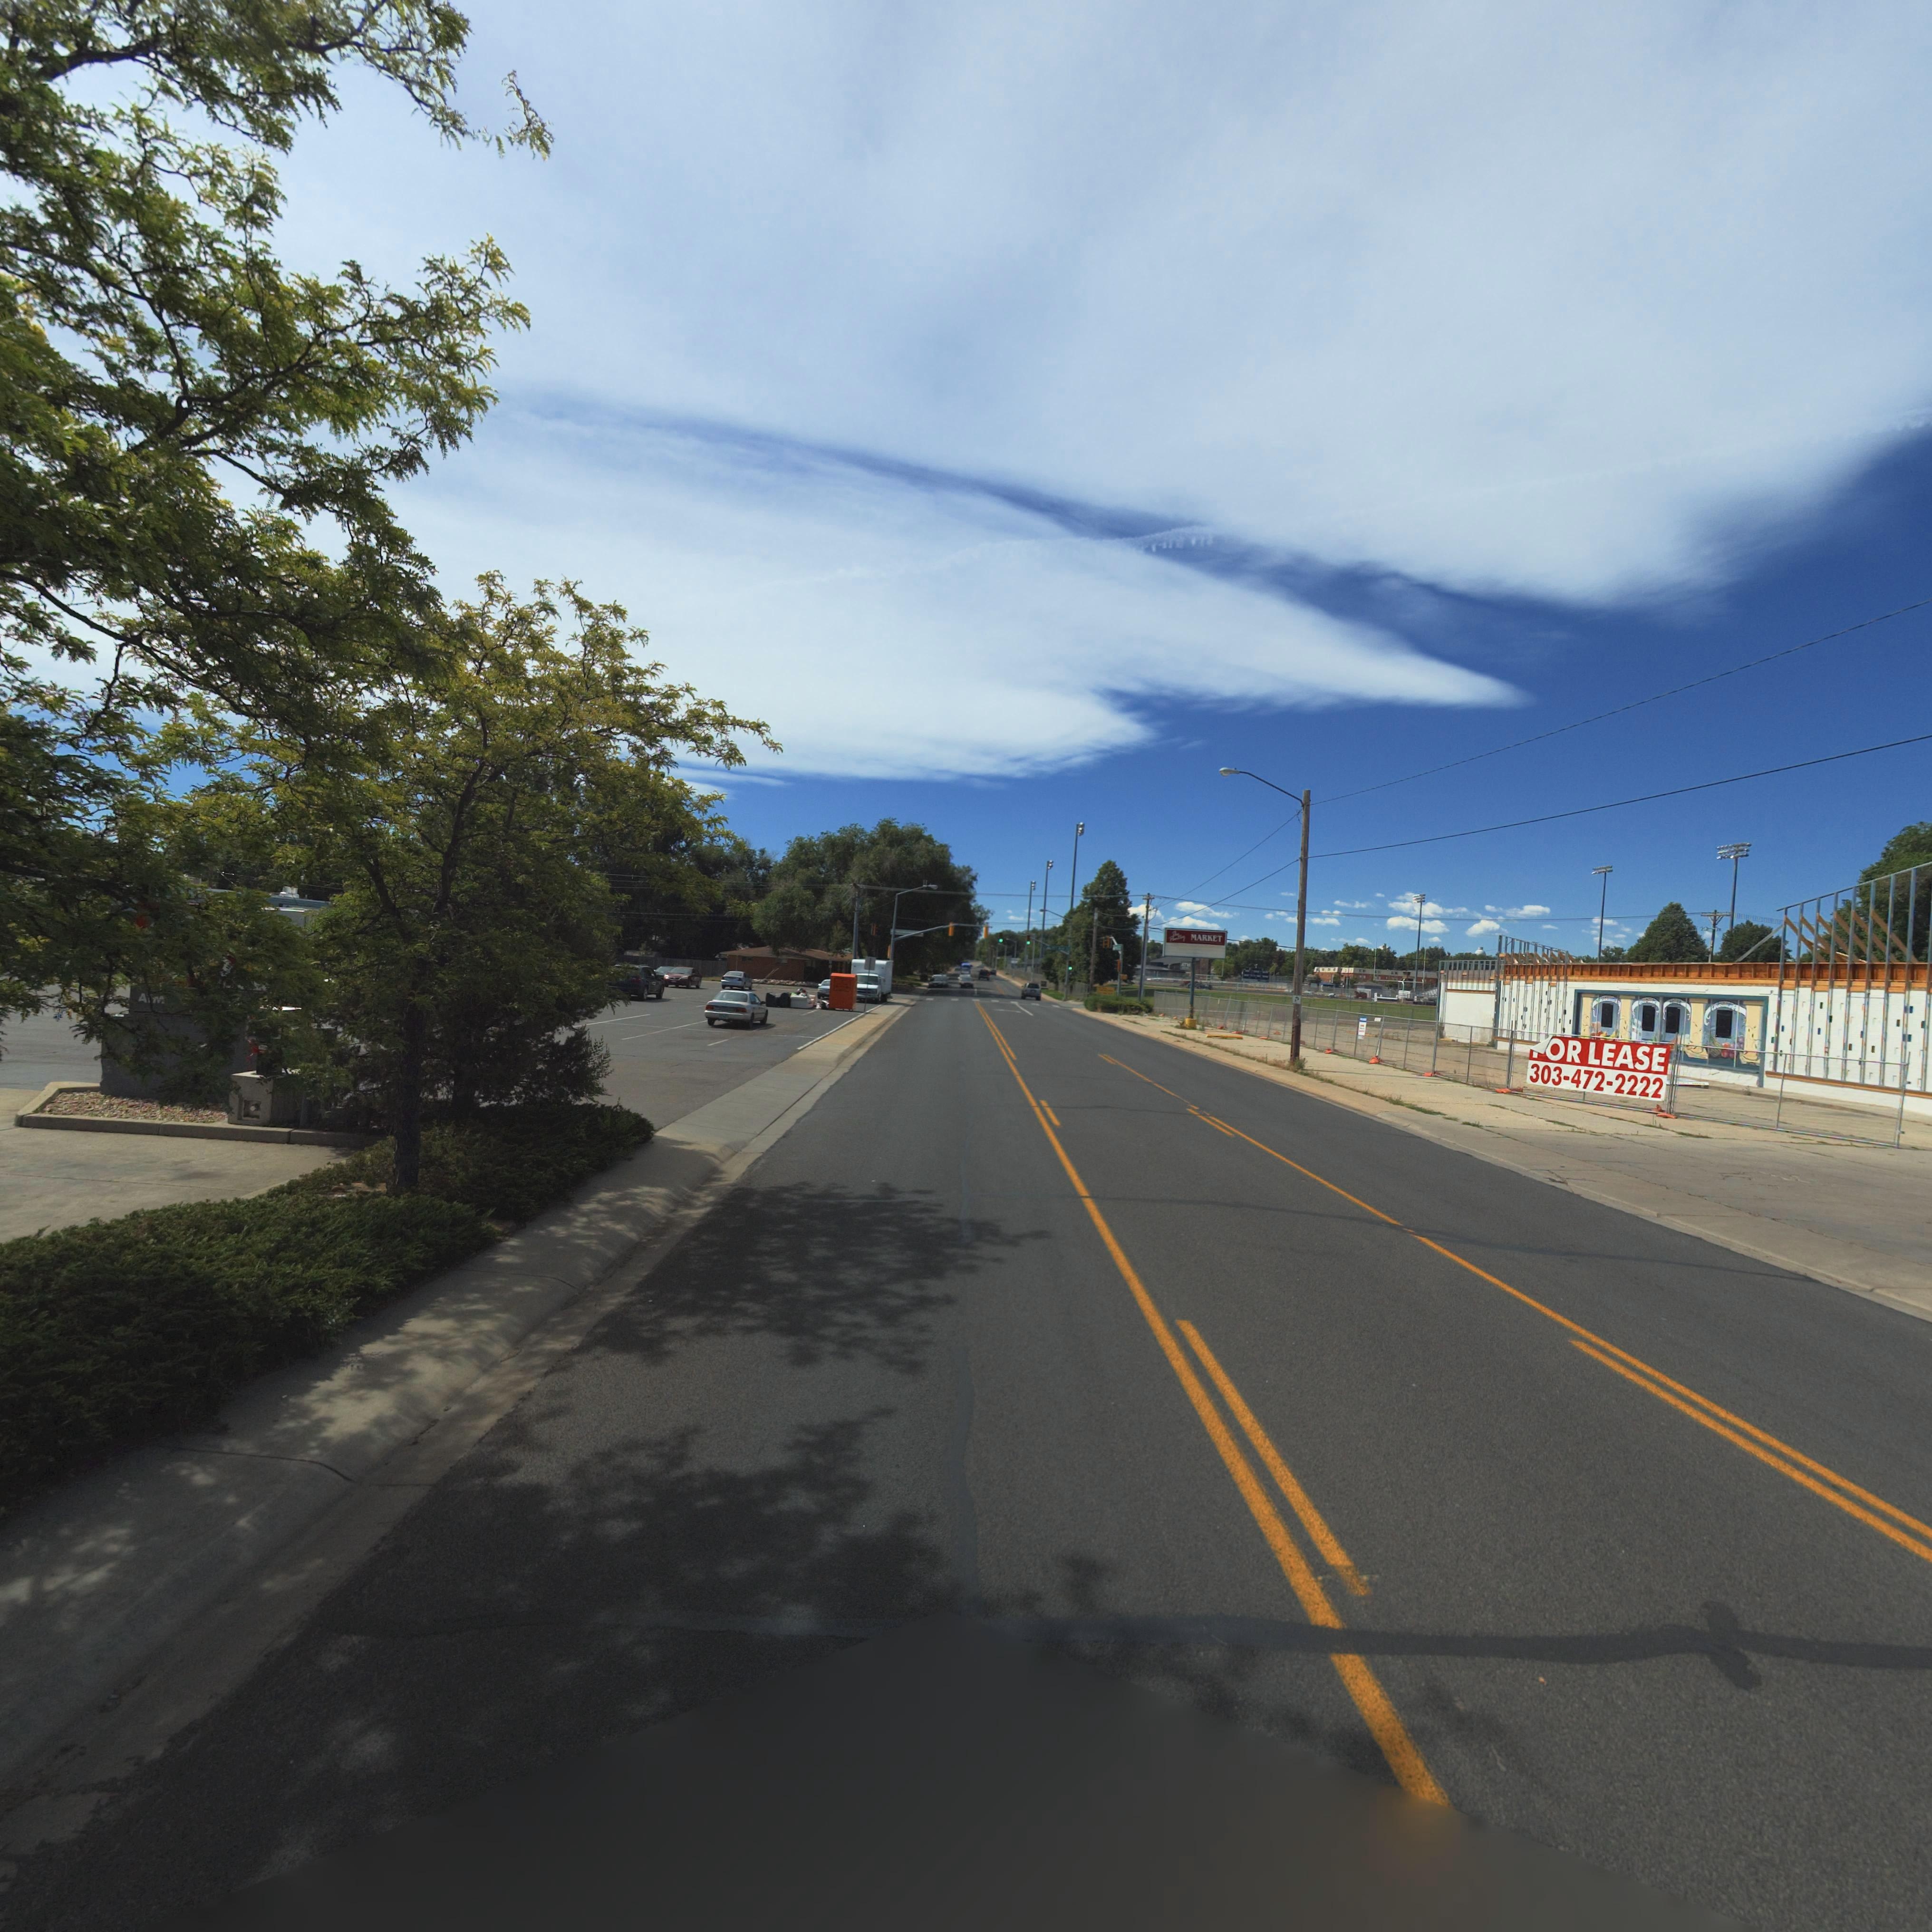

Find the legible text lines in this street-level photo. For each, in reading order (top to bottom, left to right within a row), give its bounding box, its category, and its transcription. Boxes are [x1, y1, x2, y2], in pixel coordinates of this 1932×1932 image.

[1171, 930, 1179, 938] BusinessName: The
[1169, 934, 1186, 942] BusinessName: P****y
[1190, 934, 1222, 942] BusinessName: MARKET